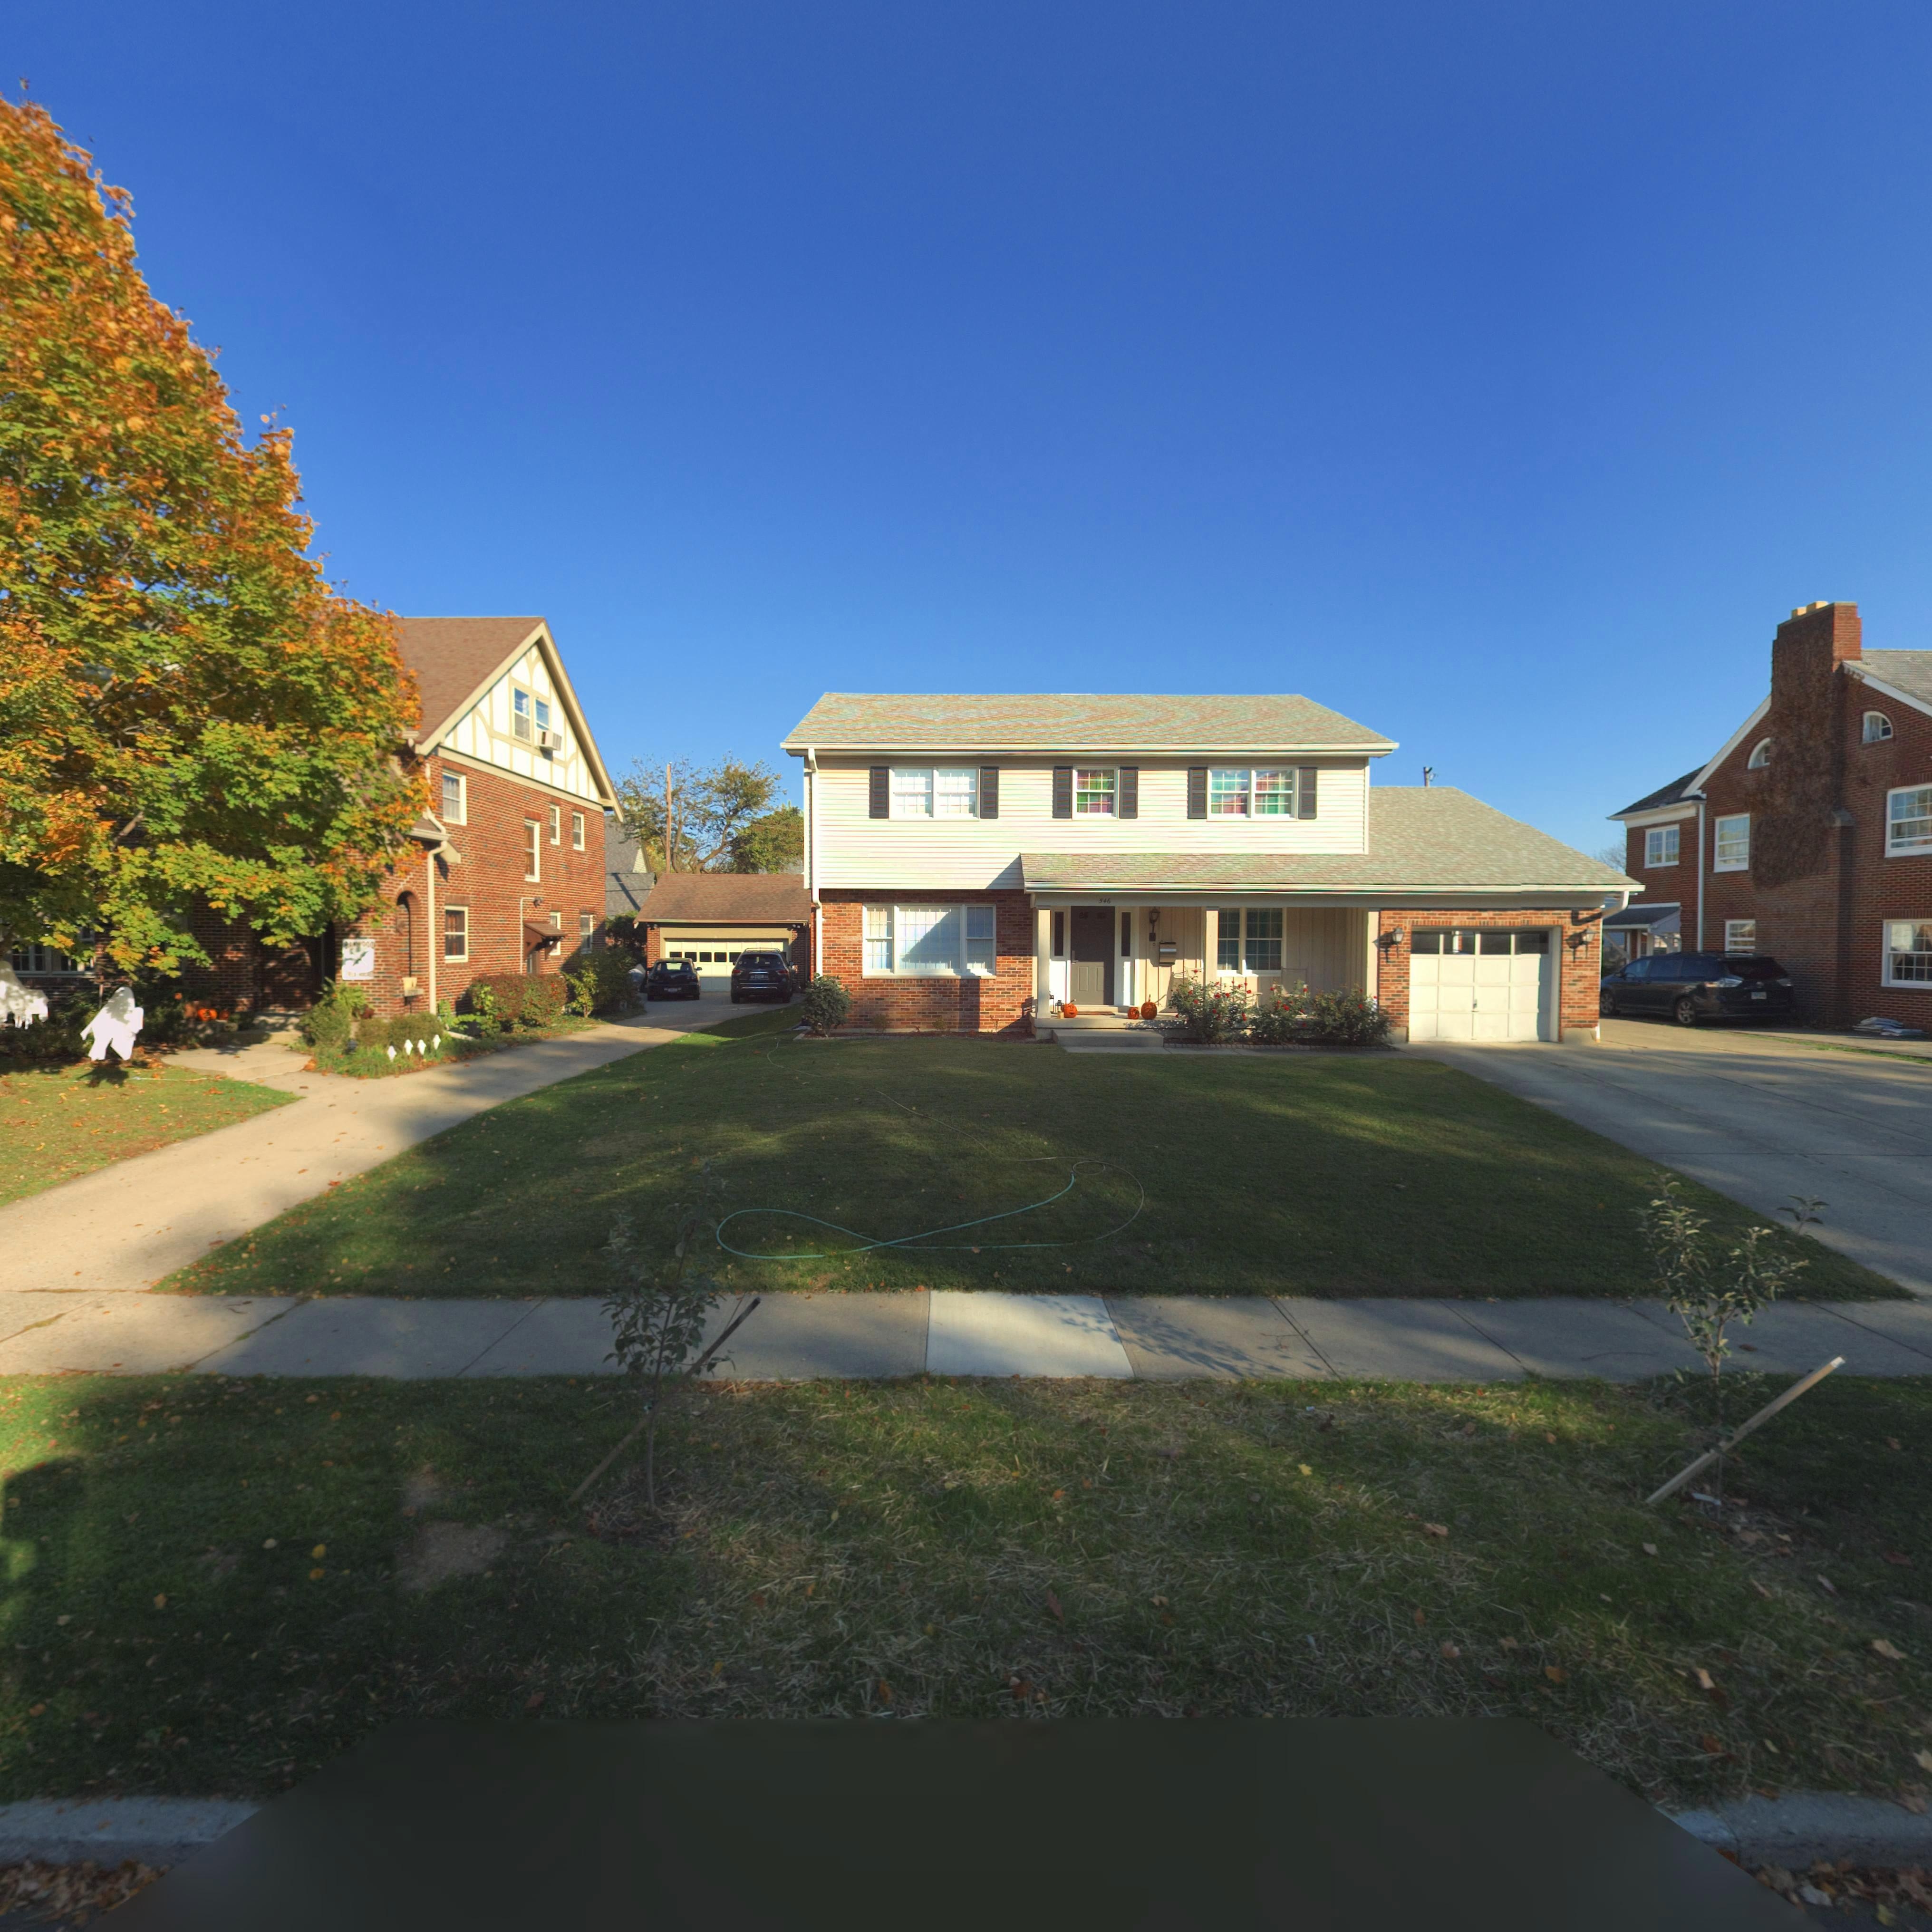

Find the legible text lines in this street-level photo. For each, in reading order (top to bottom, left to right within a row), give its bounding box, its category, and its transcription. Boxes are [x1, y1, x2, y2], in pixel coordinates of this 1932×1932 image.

[1098, 897, 1111, 905] StreetNumber: 546